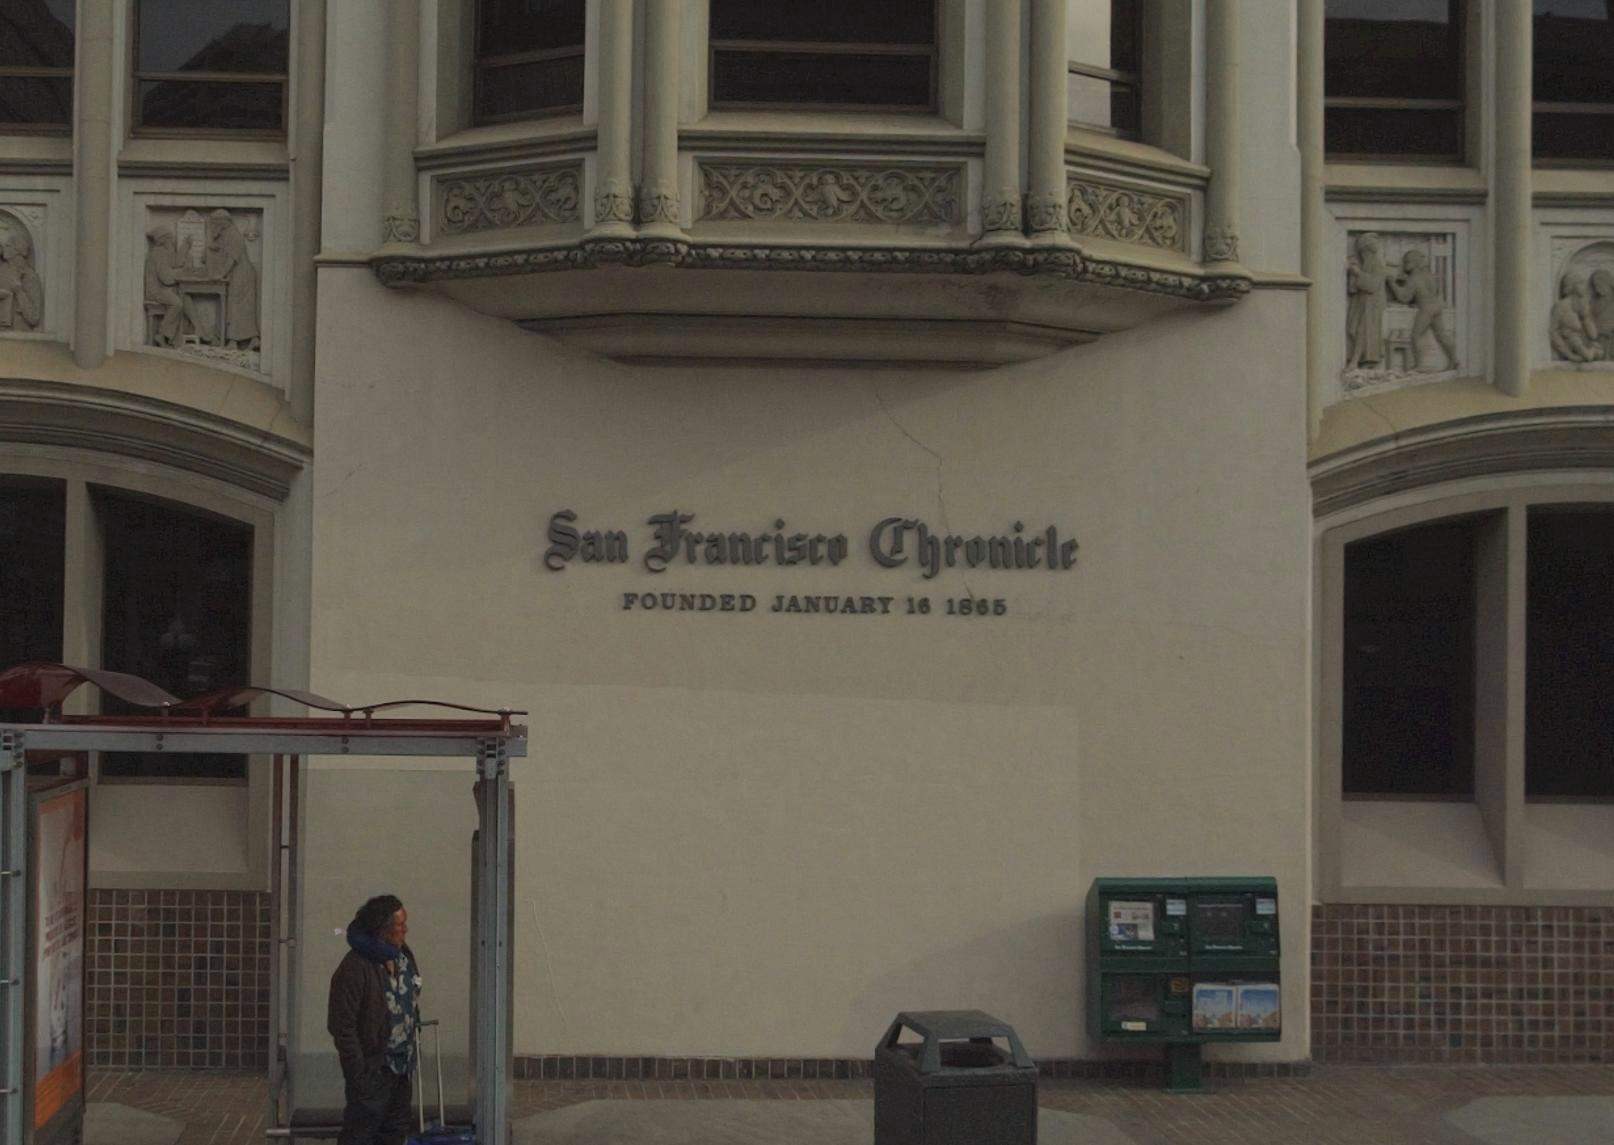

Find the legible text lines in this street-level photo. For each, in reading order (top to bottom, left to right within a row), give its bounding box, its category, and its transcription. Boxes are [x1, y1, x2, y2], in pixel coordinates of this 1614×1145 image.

[538, 506, 1084, 583] BusinessName: San Francisco Chronicle
[619, 589, 1011, 620] None: FOUNDED JANUARY 16 1865